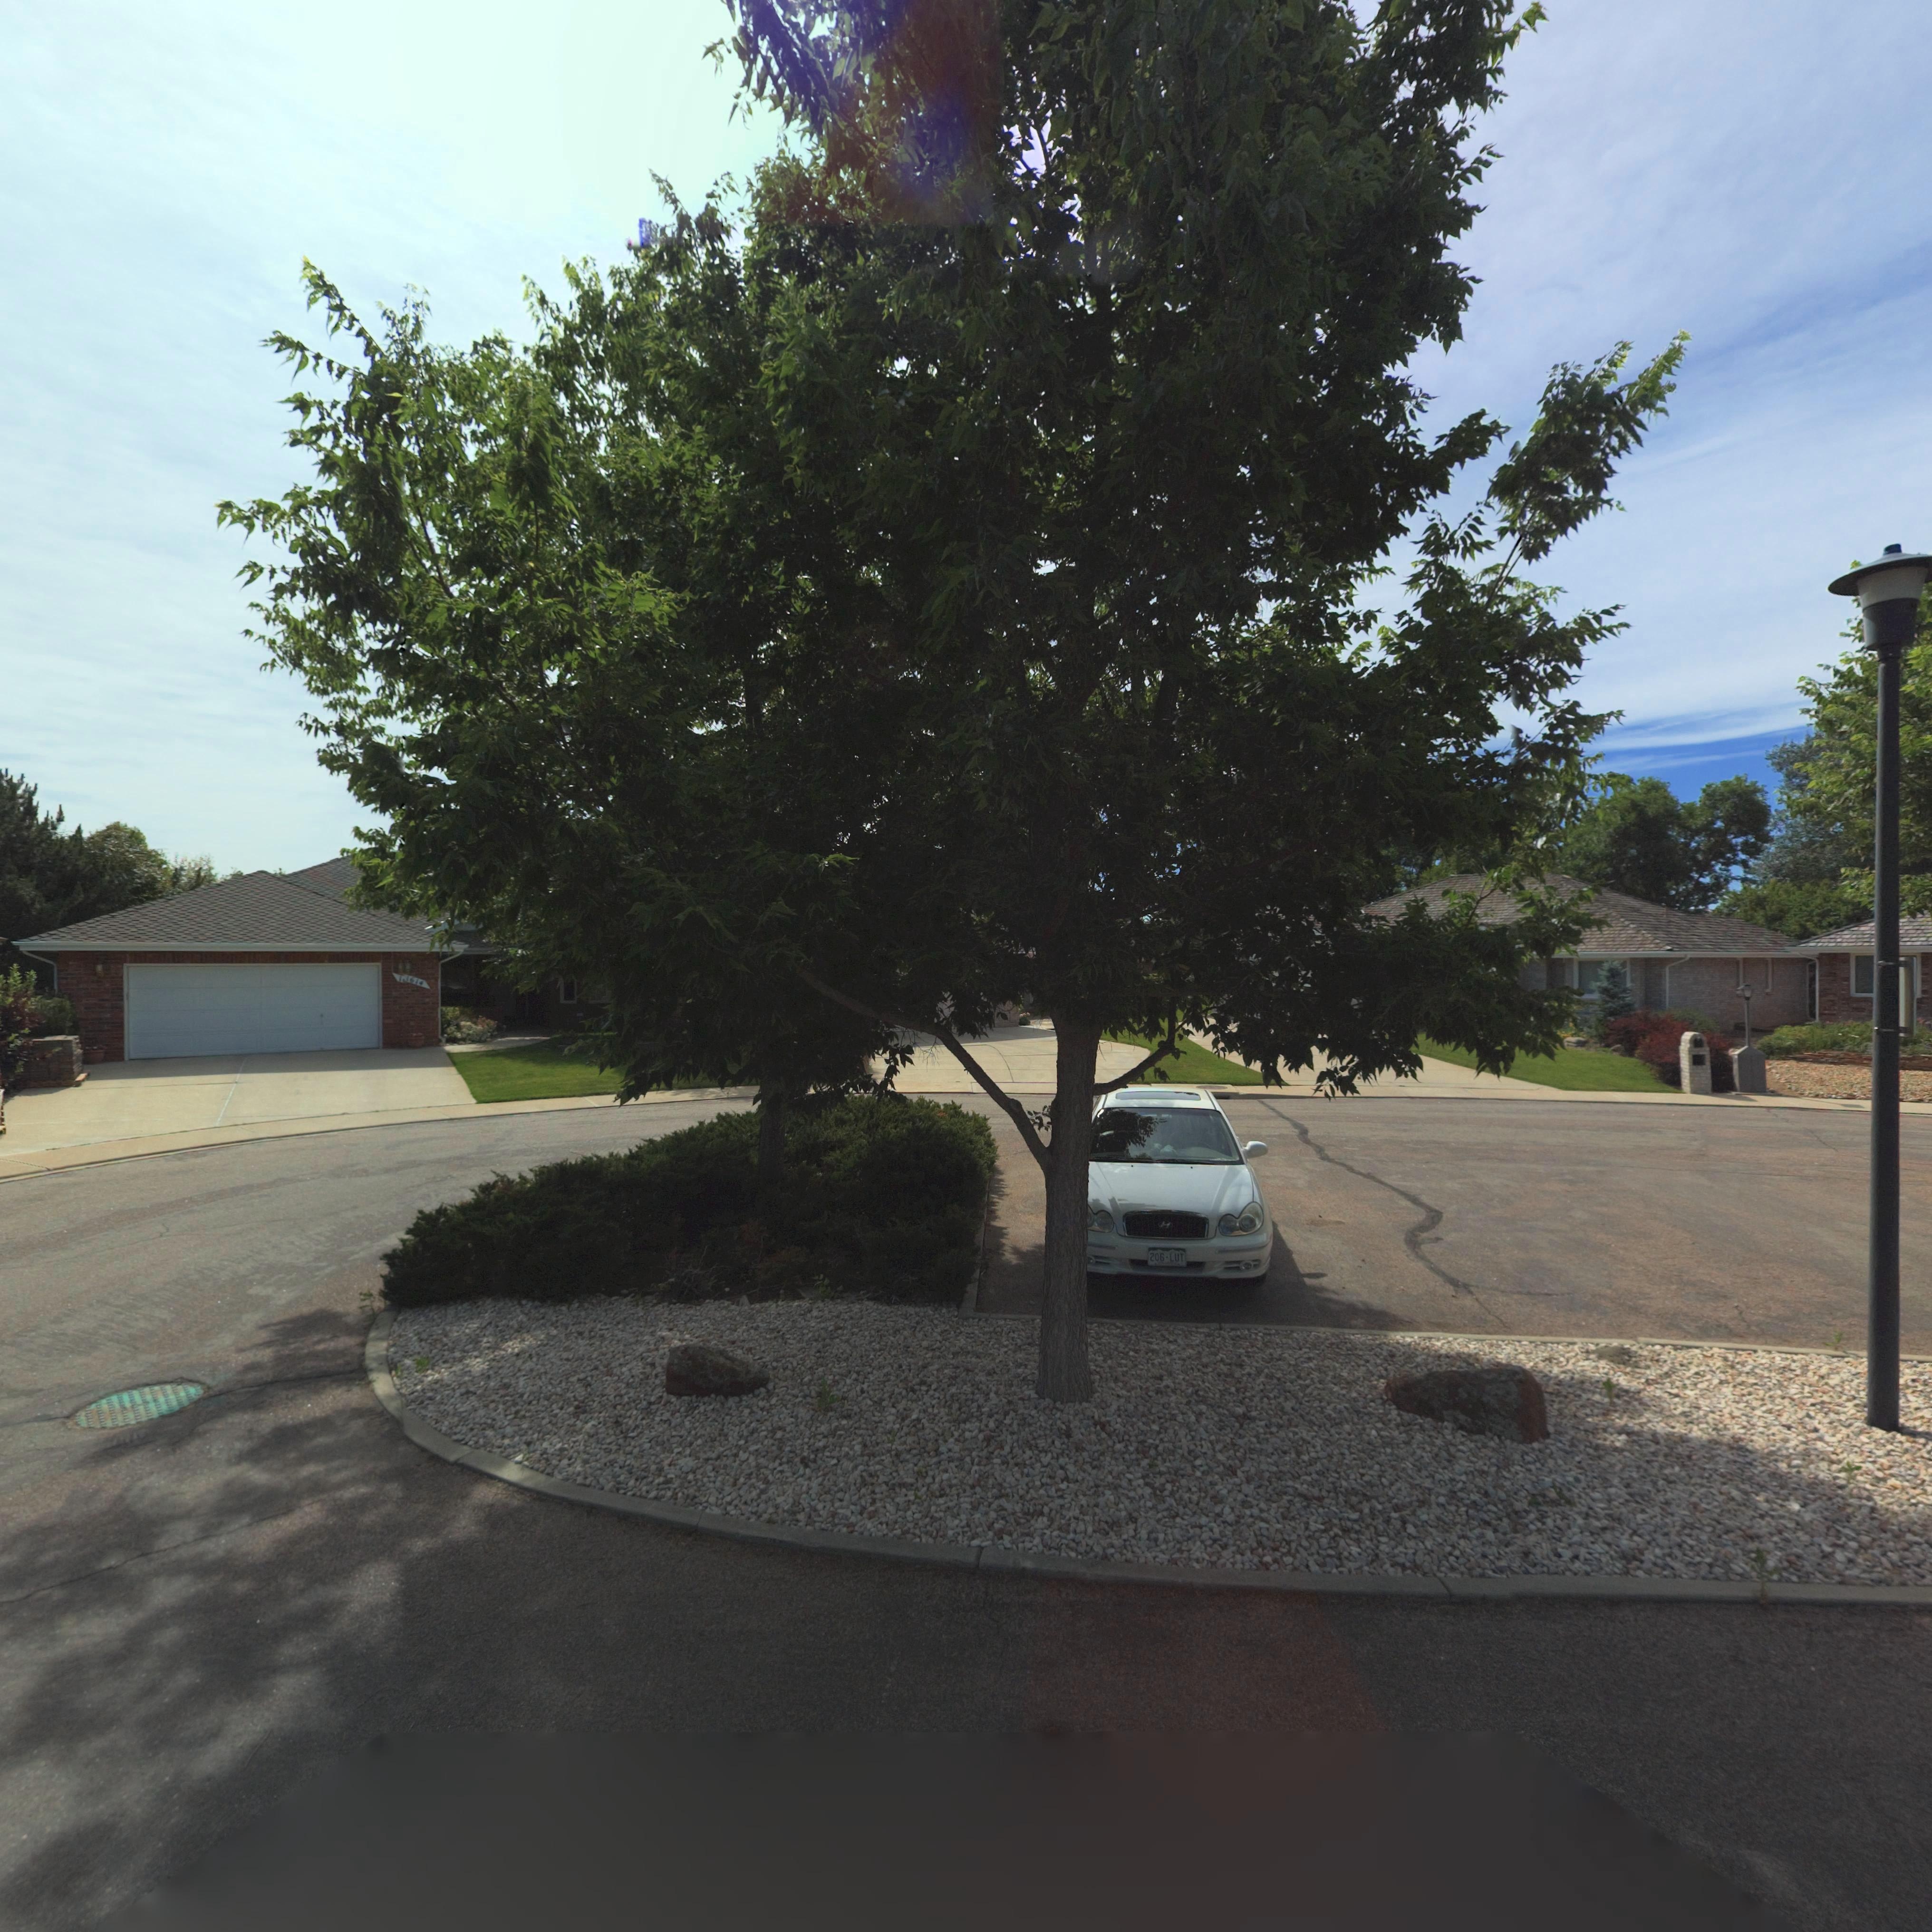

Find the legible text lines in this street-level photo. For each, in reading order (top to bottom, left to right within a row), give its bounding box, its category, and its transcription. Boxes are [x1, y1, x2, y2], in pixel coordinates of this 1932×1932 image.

[398, 975, 423, 985] StreetNumber: 1*1614